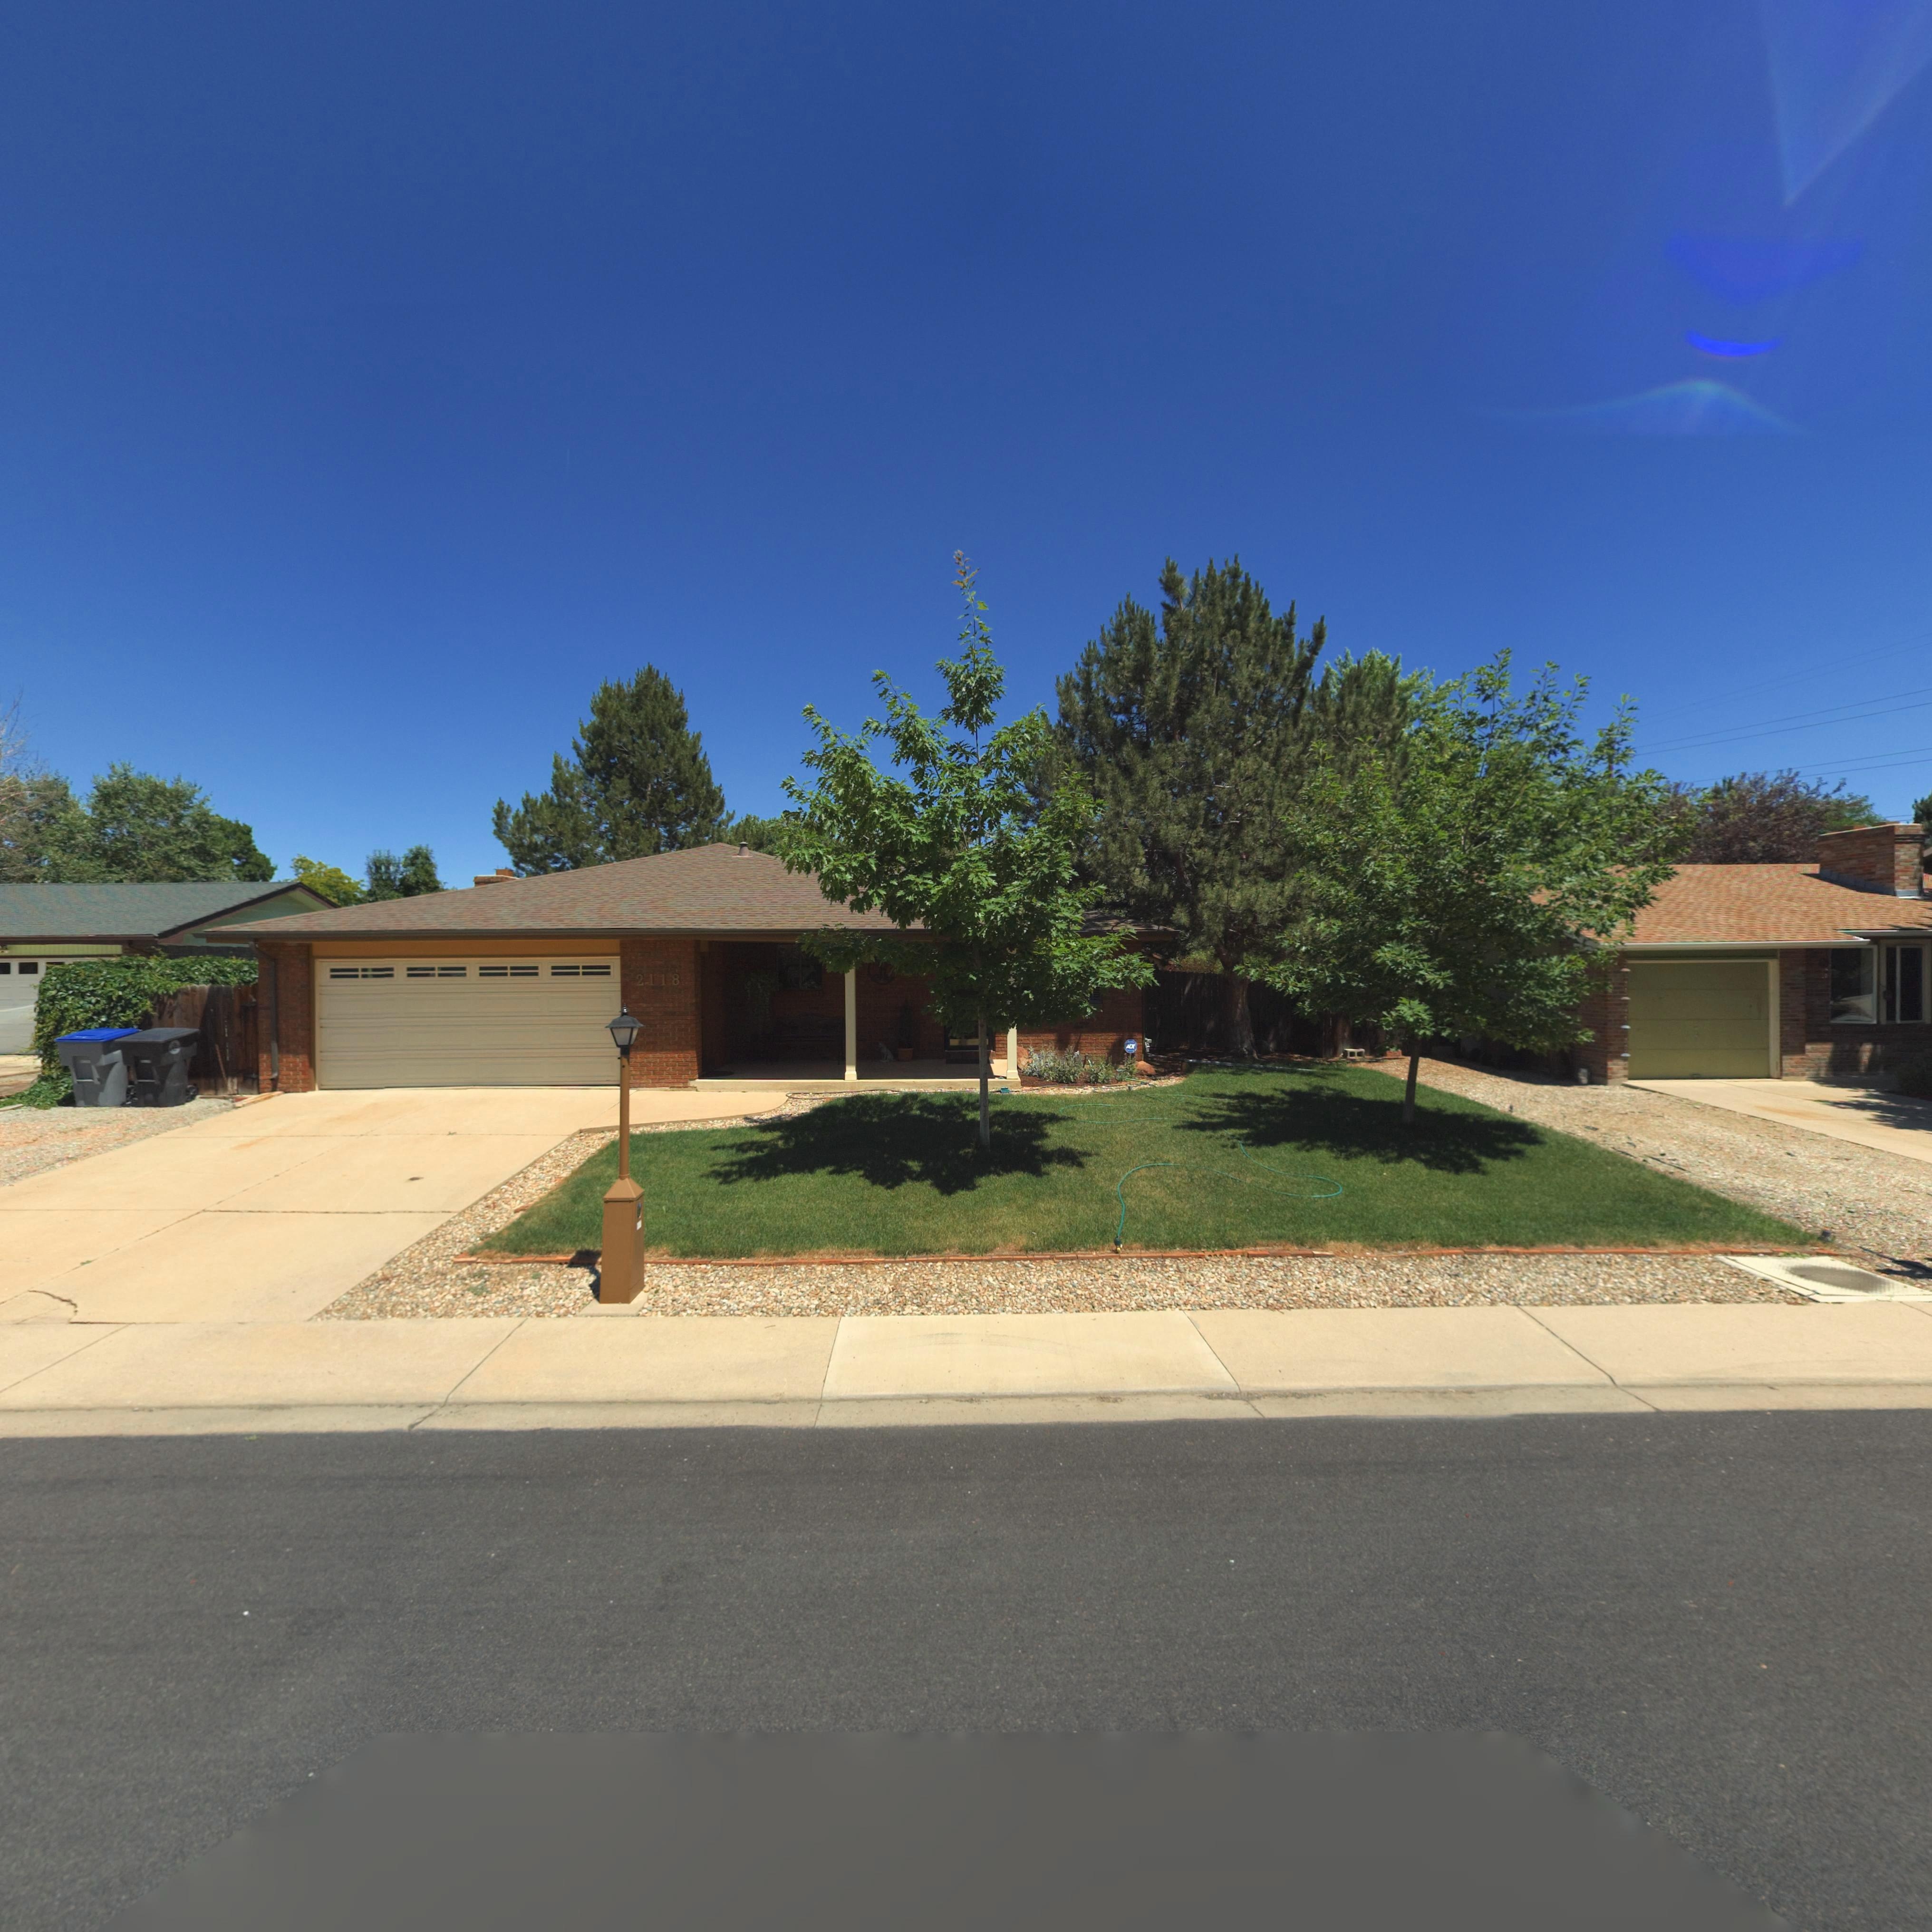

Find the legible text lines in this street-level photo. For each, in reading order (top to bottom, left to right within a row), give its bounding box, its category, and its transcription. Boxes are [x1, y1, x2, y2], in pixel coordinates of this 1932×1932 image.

[635, 973, 680, 986] StreetNumber: 2118